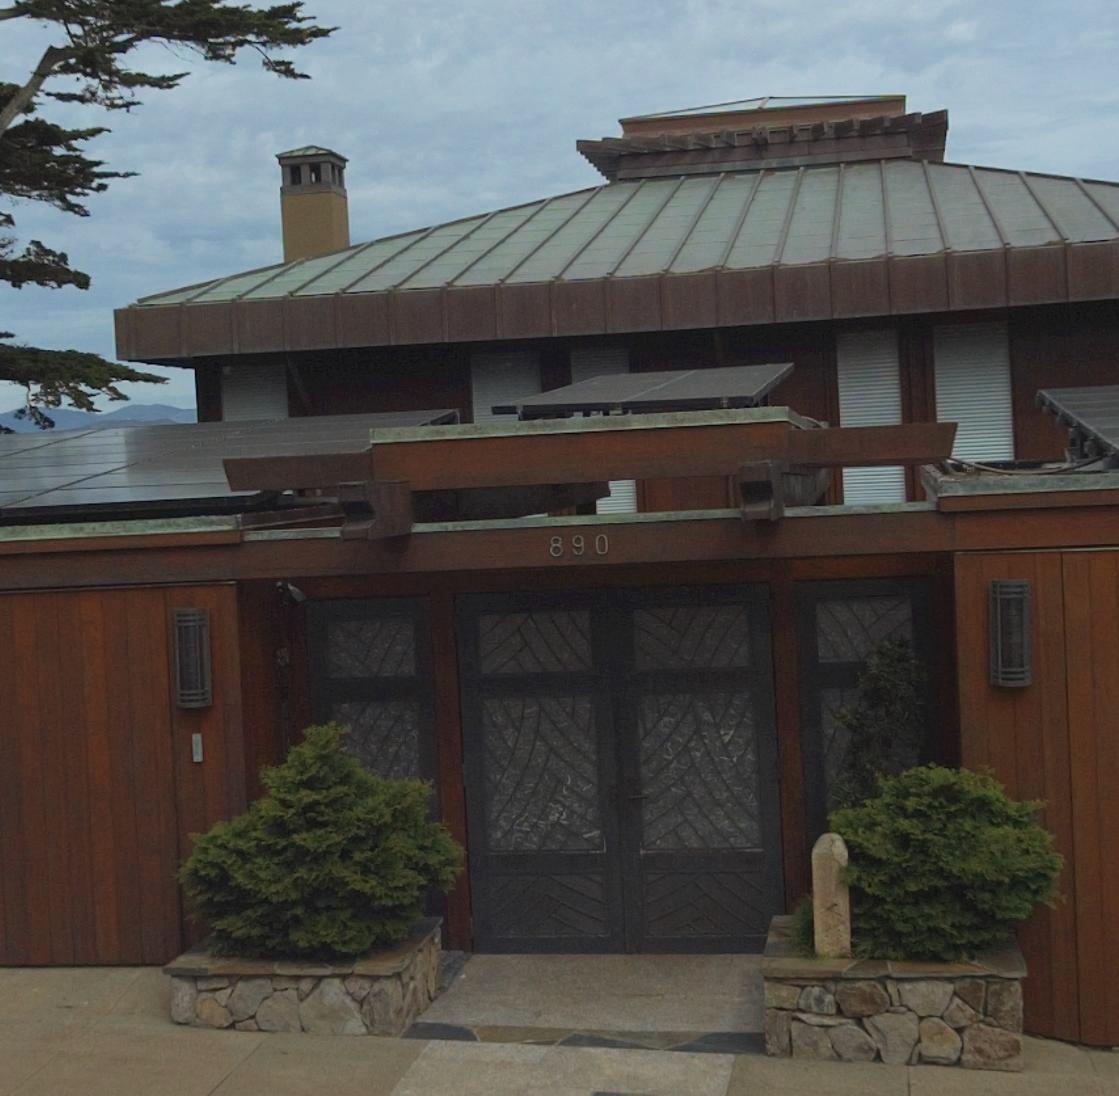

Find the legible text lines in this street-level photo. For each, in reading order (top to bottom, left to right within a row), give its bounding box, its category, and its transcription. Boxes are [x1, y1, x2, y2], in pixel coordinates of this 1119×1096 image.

[548, 533, 610, 558] StreetNumber: 890